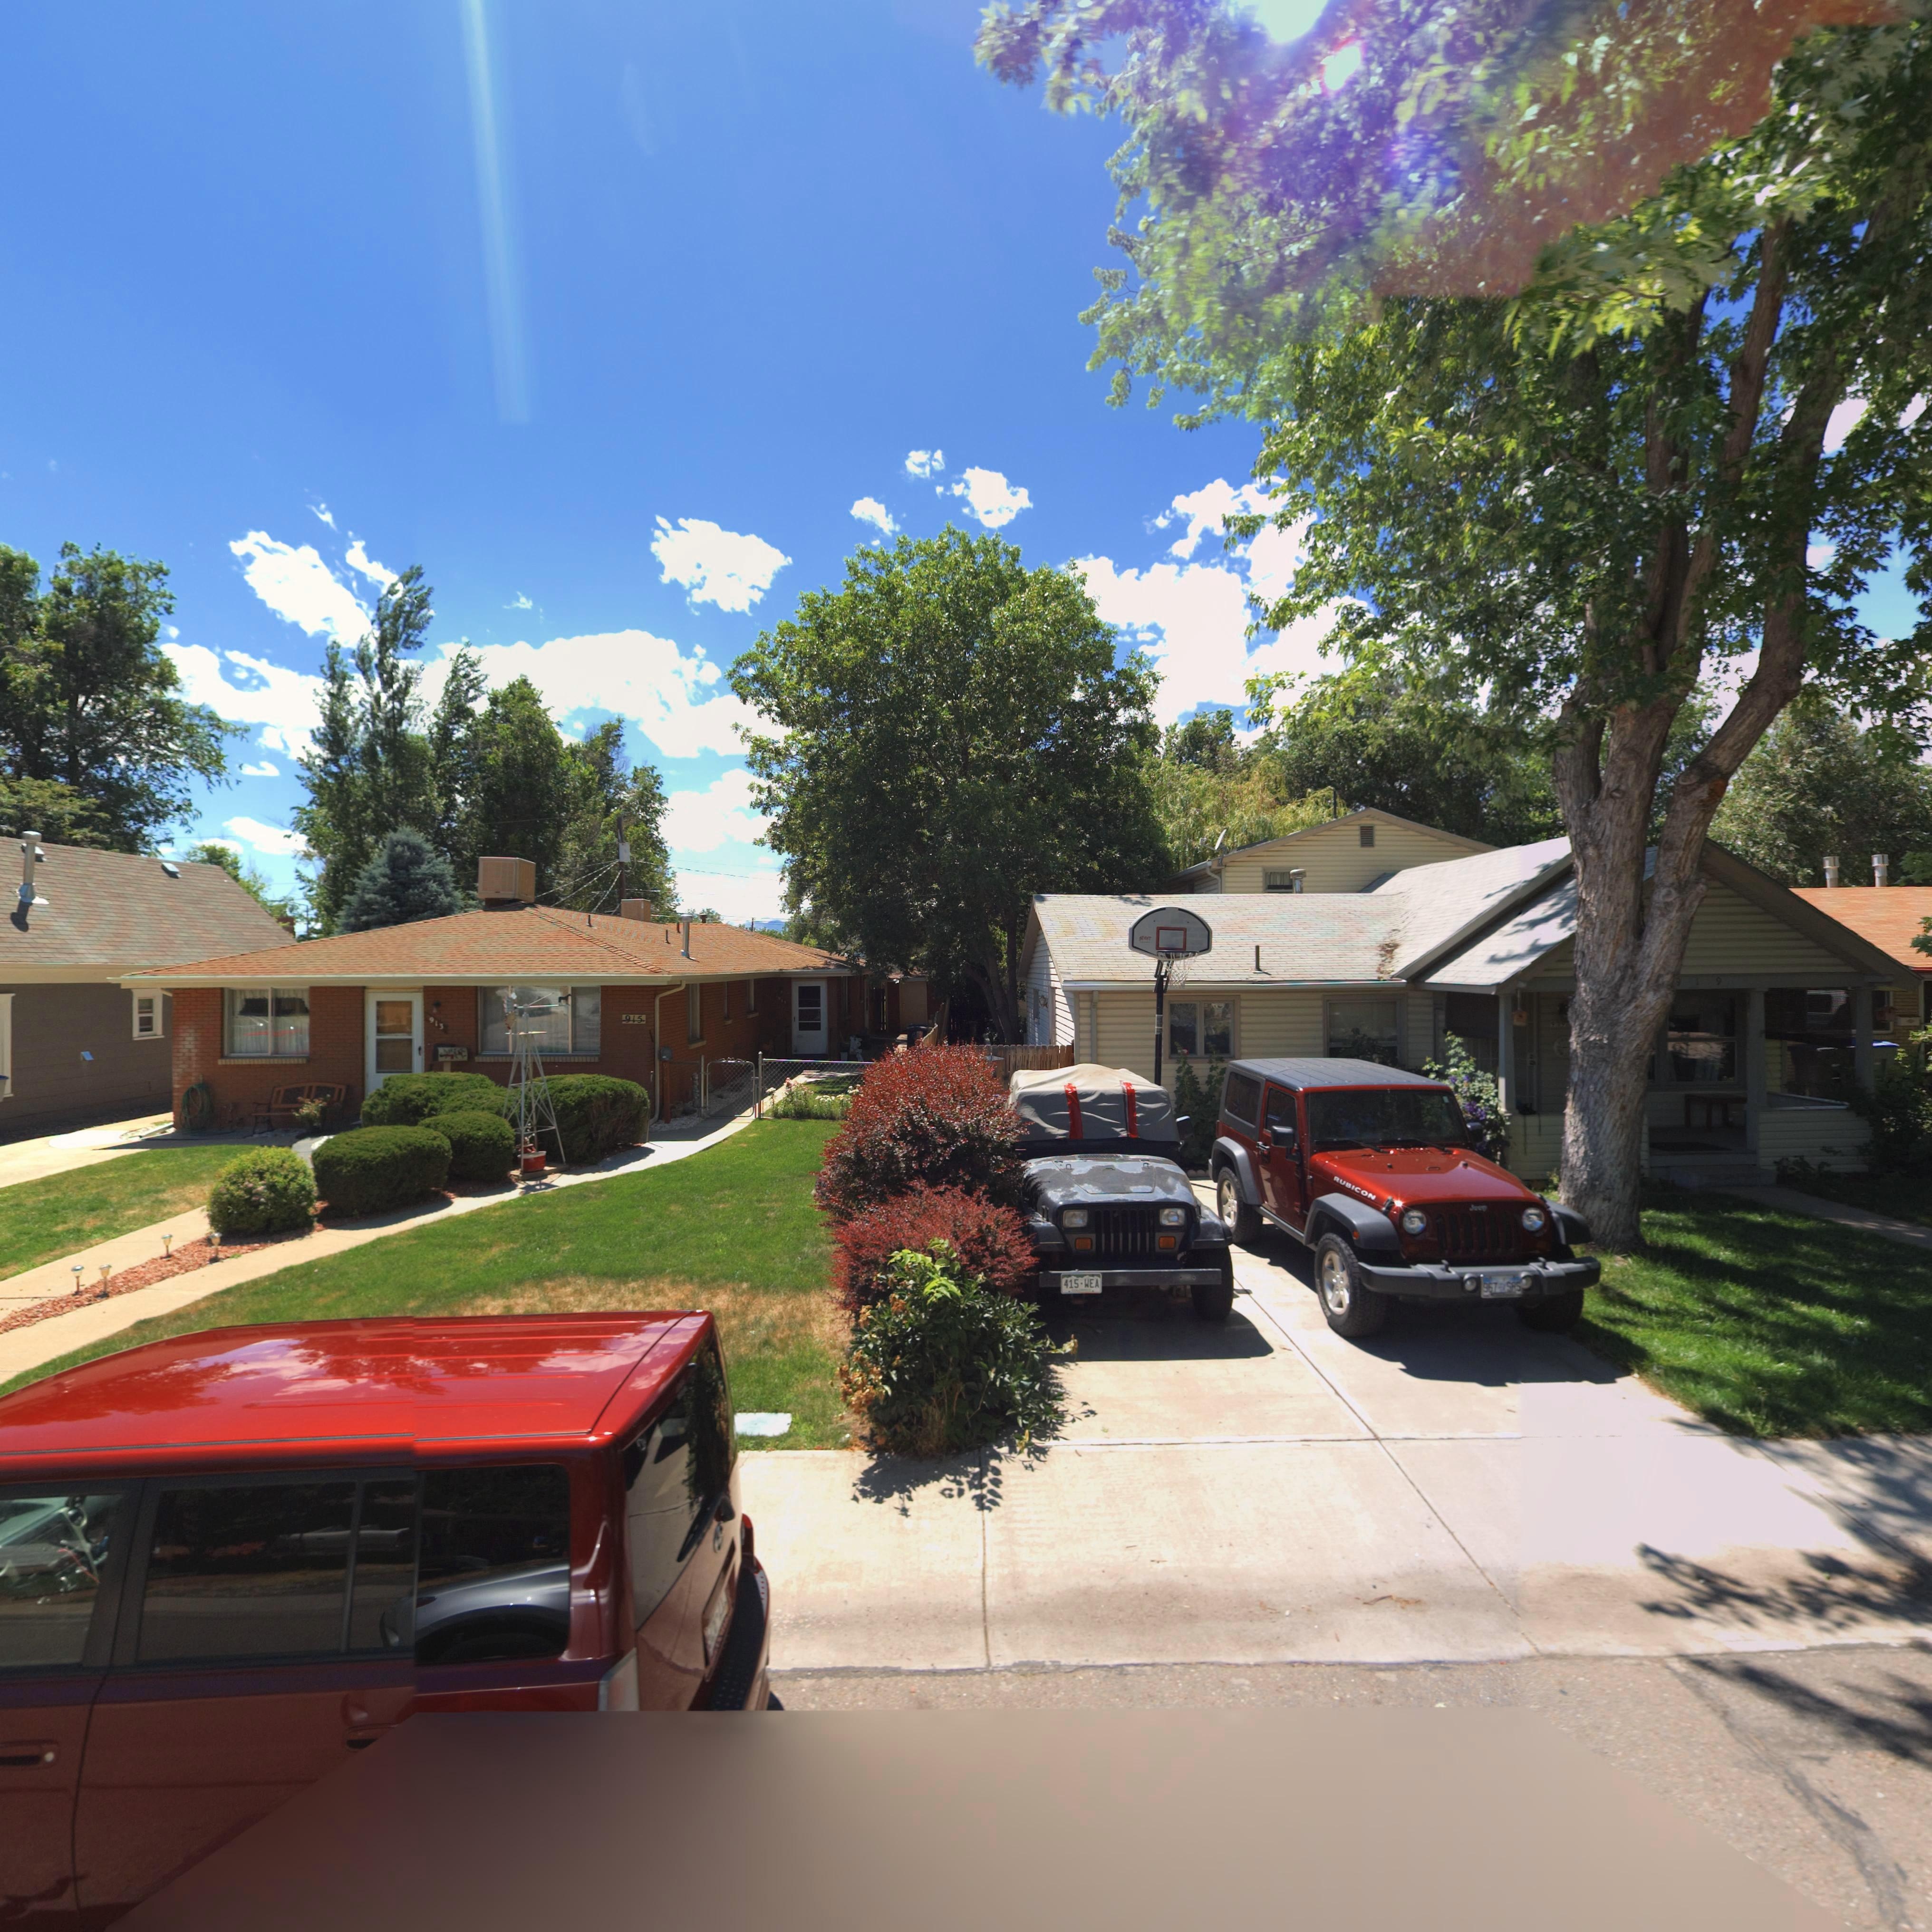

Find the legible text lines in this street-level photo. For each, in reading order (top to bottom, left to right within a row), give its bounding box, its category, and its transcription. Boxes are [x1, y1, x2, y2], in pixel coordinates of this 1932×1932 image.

[1674, 976, 1722, 986] StreetNumber: 919
[428, 1016, 444, 1030] StreetNumber: 913
[625, 1014, 643, 1023] StreetNumber: 915
[1550, 1021, 1565, 1027] StreetNumber: 9**